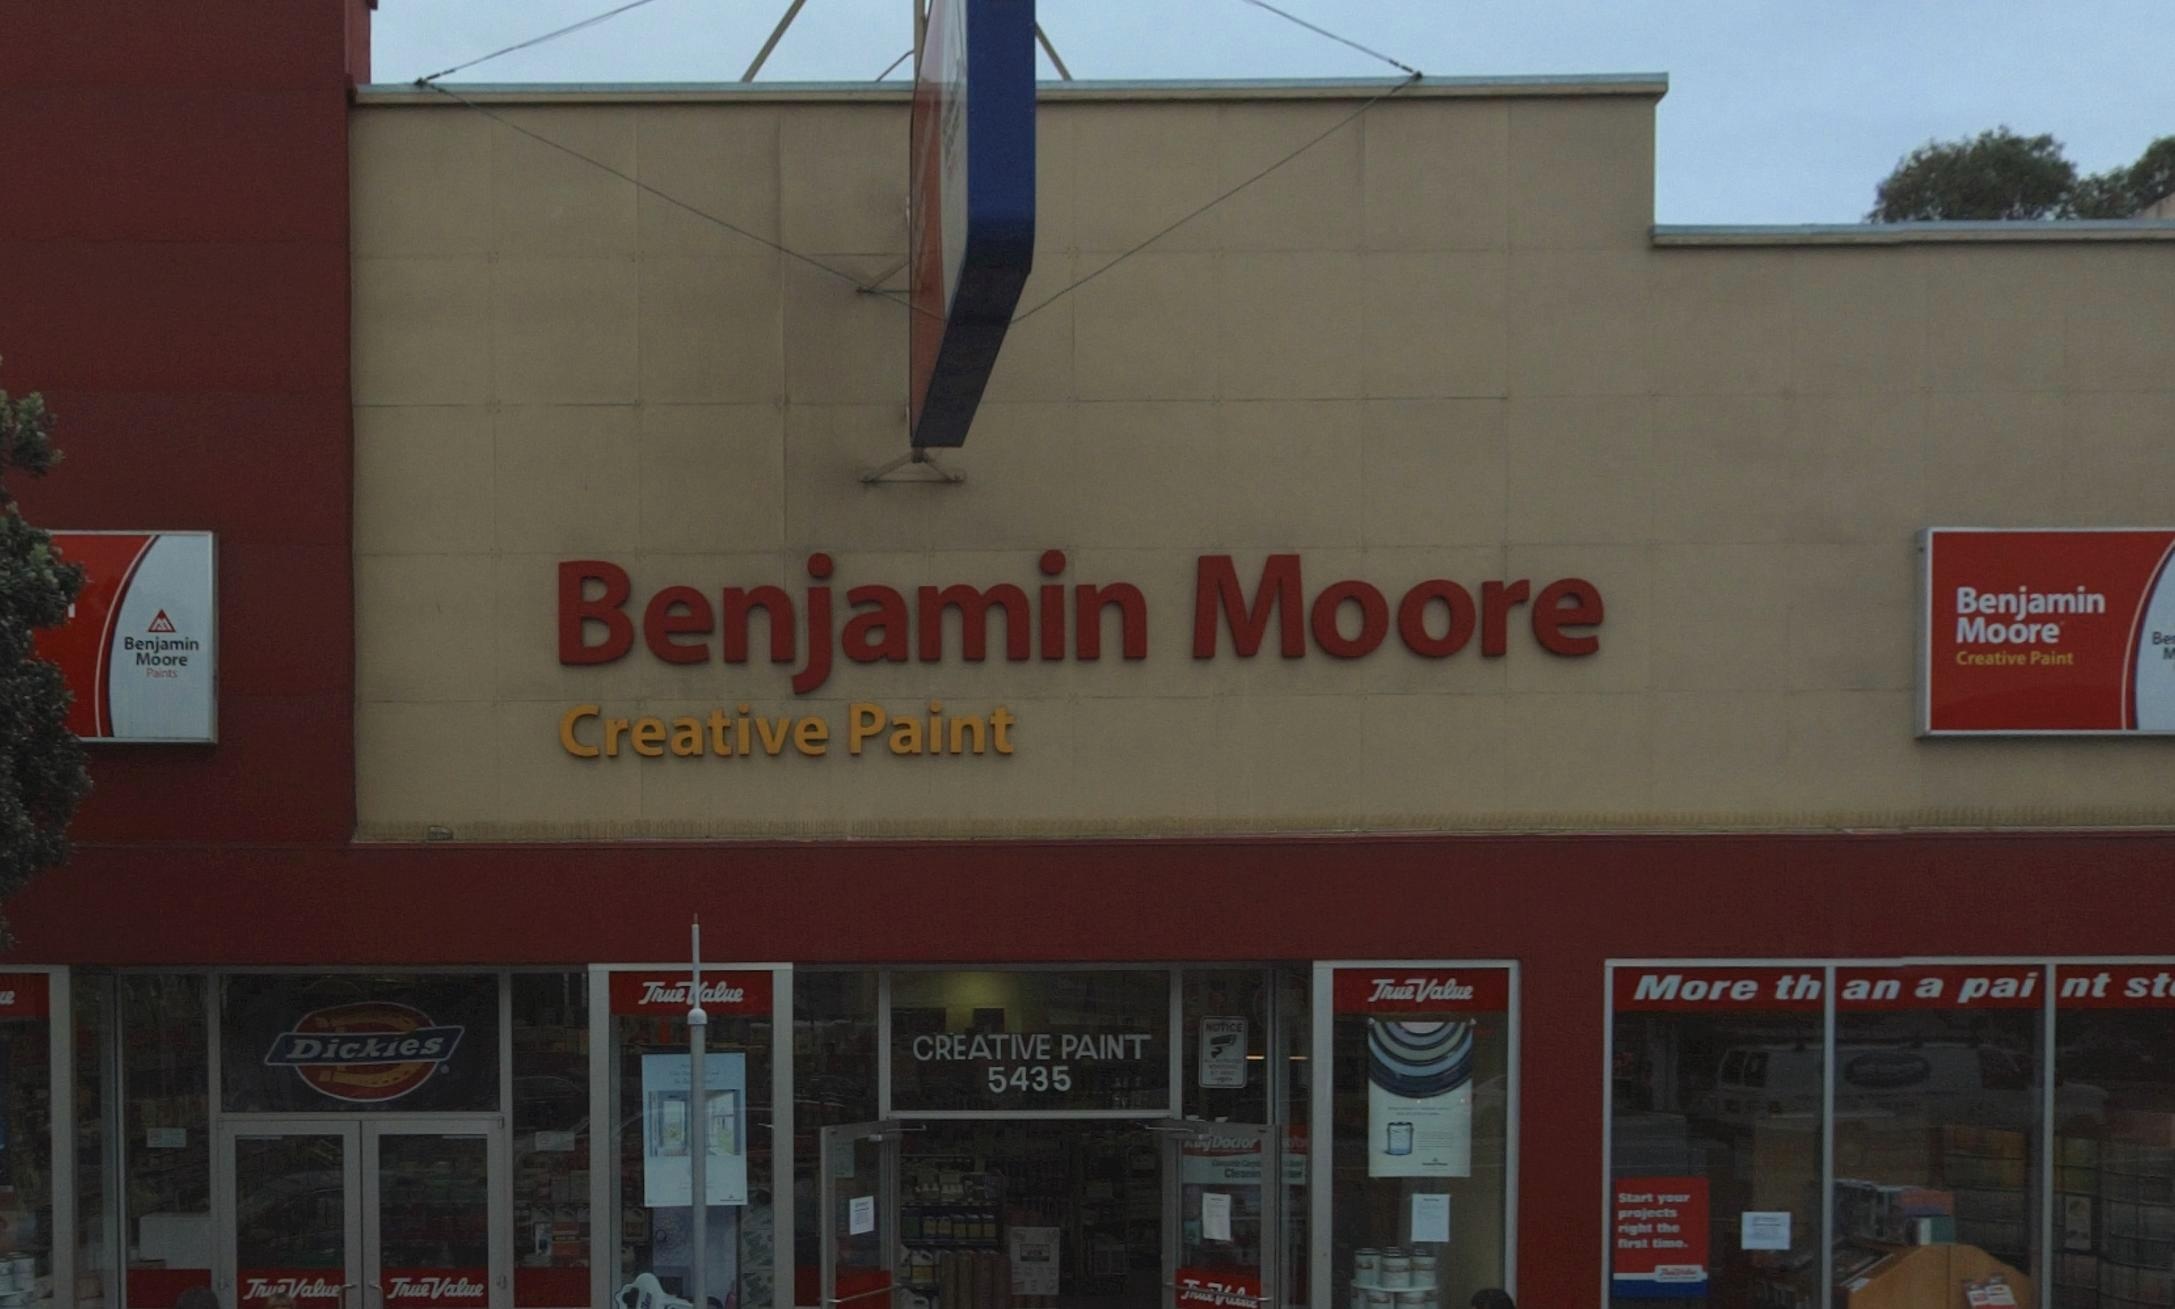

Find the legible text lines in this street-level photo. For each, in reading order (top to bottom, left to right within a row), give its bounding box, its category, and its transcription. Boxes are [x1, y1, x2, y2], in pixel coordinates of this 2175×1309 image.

[1953, 580, 2110, 625] BusinessName: Benjamin
[121, 633, 202, 656] BusinessName: Benjamin
[133, 649, 190, 669] BusinessName: Moore
[144, 665, 181, 681] BusinessName: Paints
[551, 542, 1608, 699] BusinessName: Benjamin Moore
[1952, 613, 2063, 648] BusinessName: Moore
[1953, 647, 2077, 669] BusinessName: creative Paint
[2149, 627, 2173, 648] BusinessName: Be
[555, 699, 1019, 765] BusinessName: Creative Paint
[632, 977, 749, 1009] None: True *alue
[1362, 974, 1478, 1006] None: True Value
[1626, 968, 2174, 1006] None: More th*an a pai*nt st
[279, 1033, 449, 1063] None: Dickies
[909, 1030, 1156, 1065] None: CREATIVE PAINT
[985, 1061, 1075, 1097] StreetNumber: 5435
[1208, 1132, 1241, 1152] None: Doc
[1615, 1189, 1694, 1208] None: Start your
[1615, 1204, 1681, 1223] None: Projects
[1615, 1219, 1683, 1239] None: right the
[1616, 1235, 1691, 1251] None: first time.
[238, 1274, 344, 1303] None: Tr****alu*
[382, 1274, 490, 1302] None: True Value